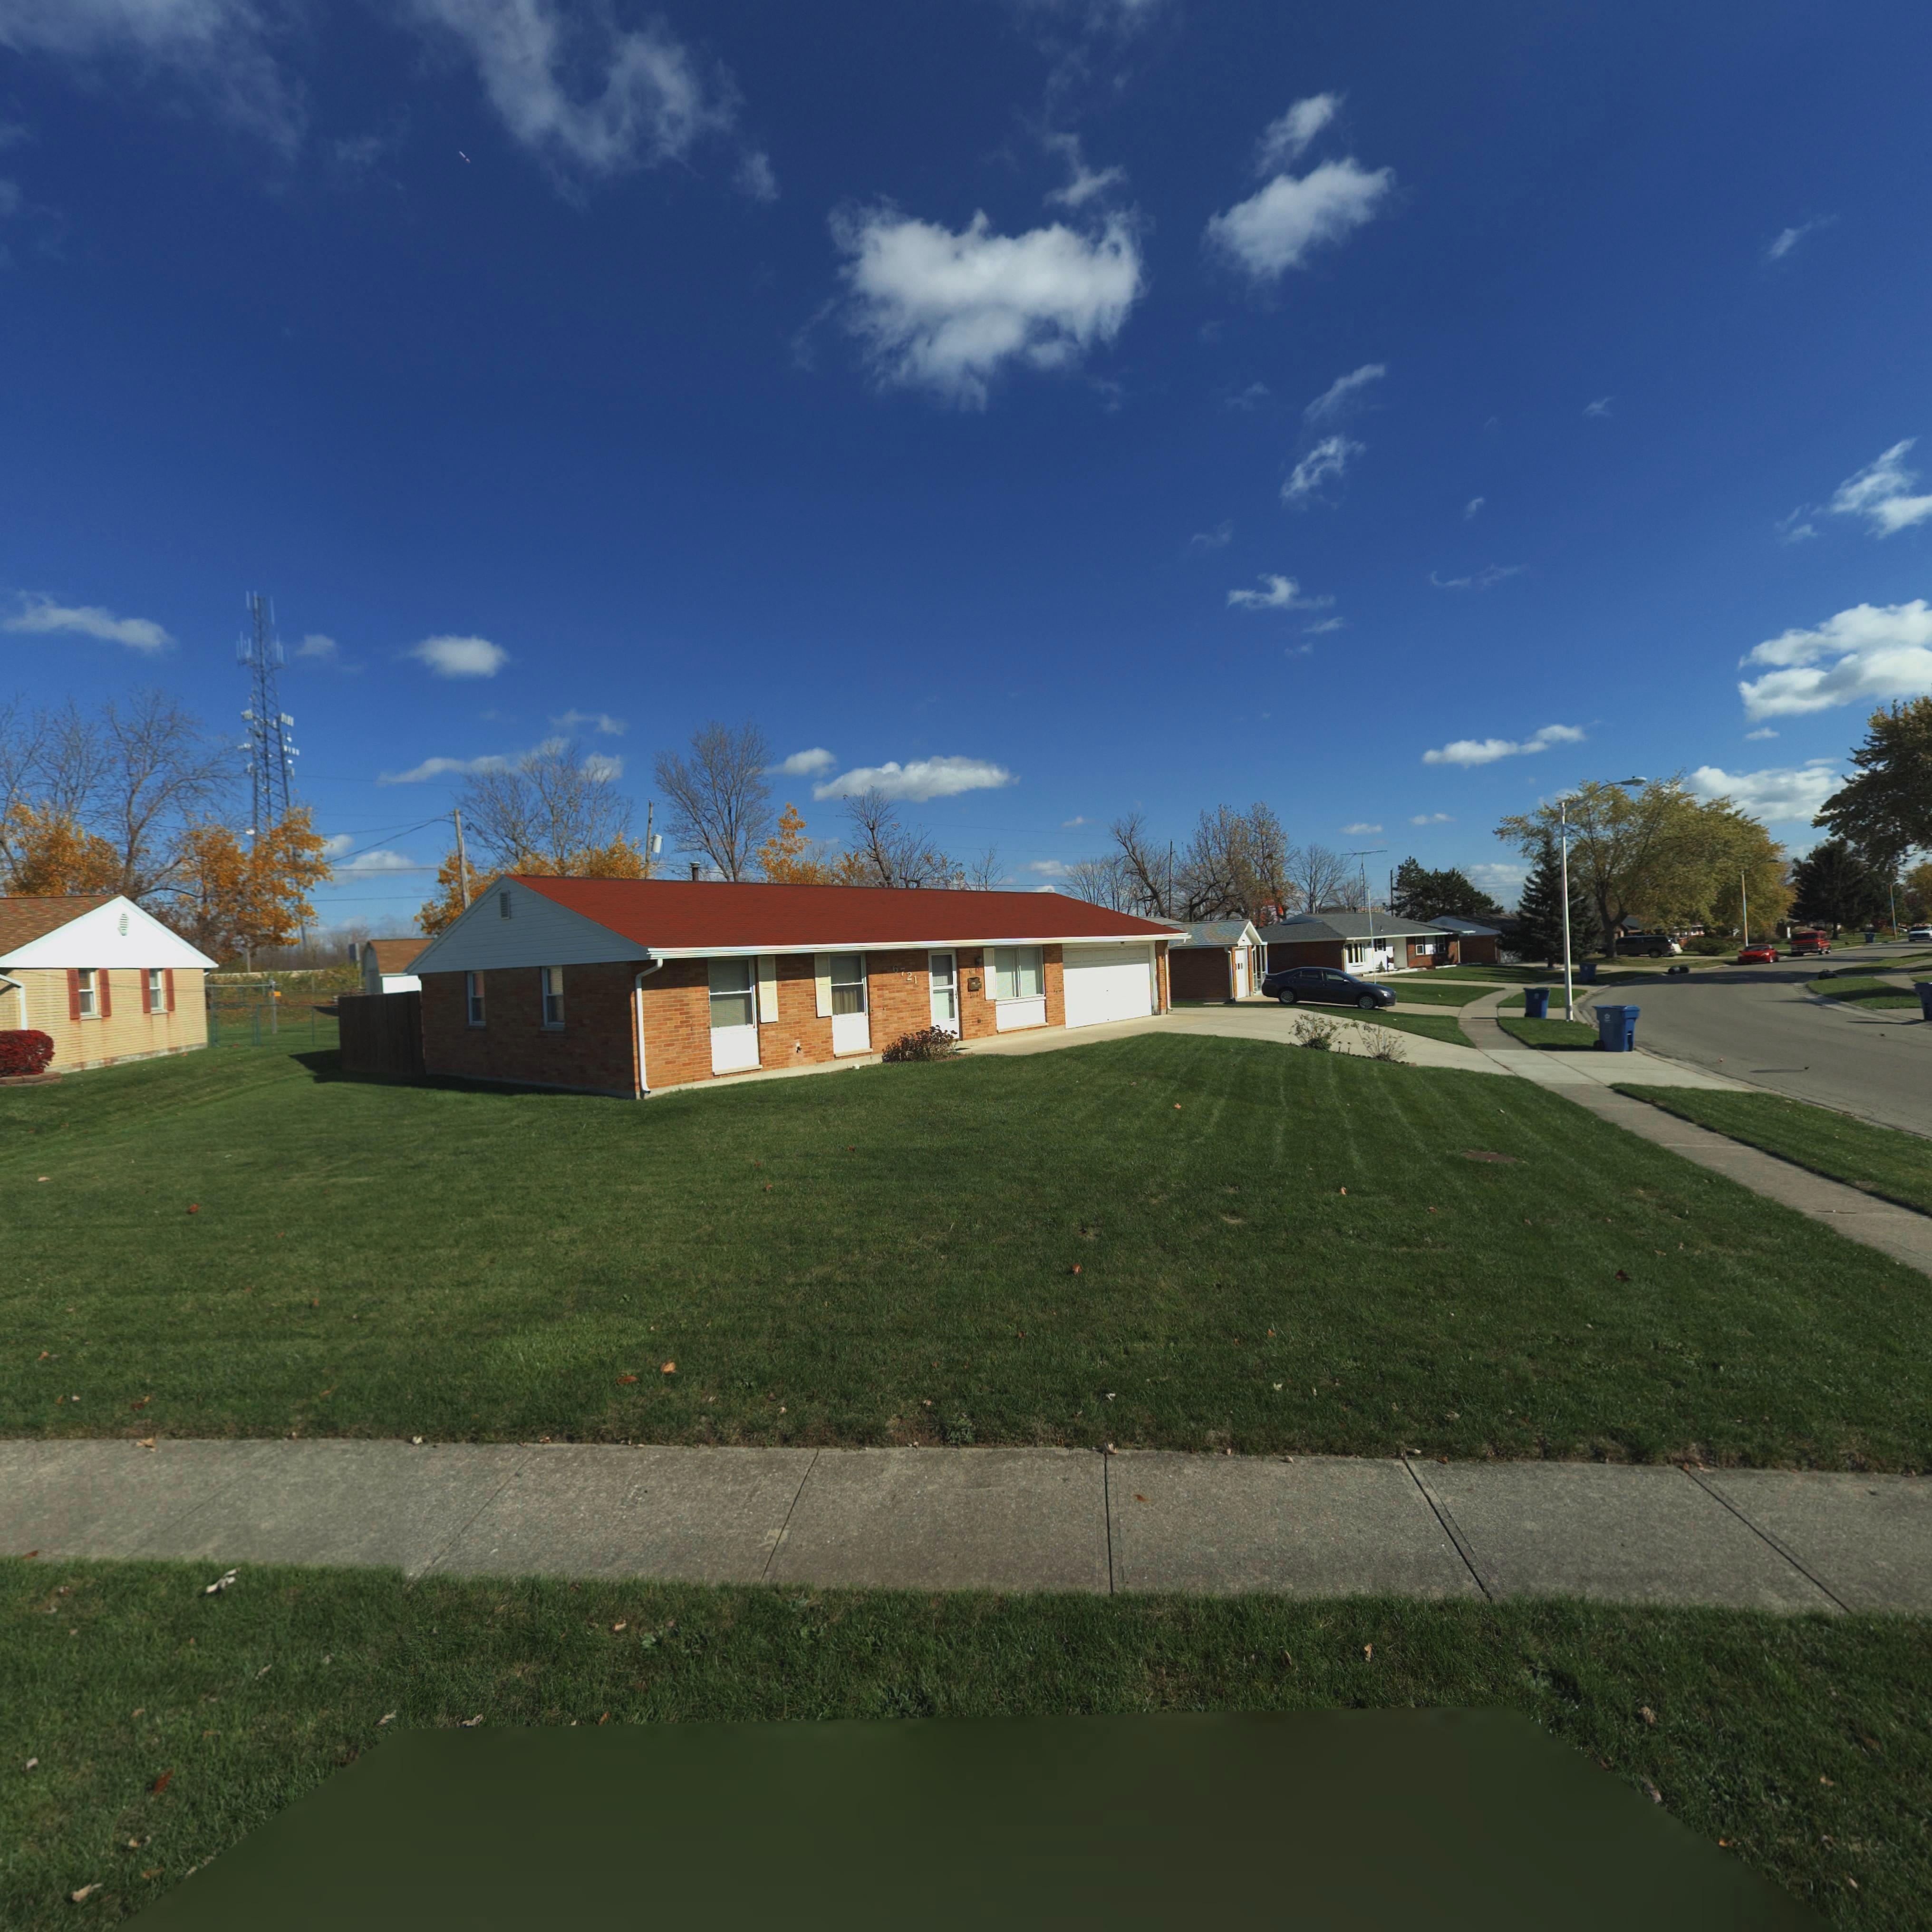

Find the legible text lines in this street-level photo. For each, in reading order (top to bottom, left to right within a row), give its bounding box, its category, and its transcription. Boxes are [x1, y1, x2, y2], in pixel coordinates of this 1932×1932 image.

[891, 963, 918, 985] StreetNumber: 6721